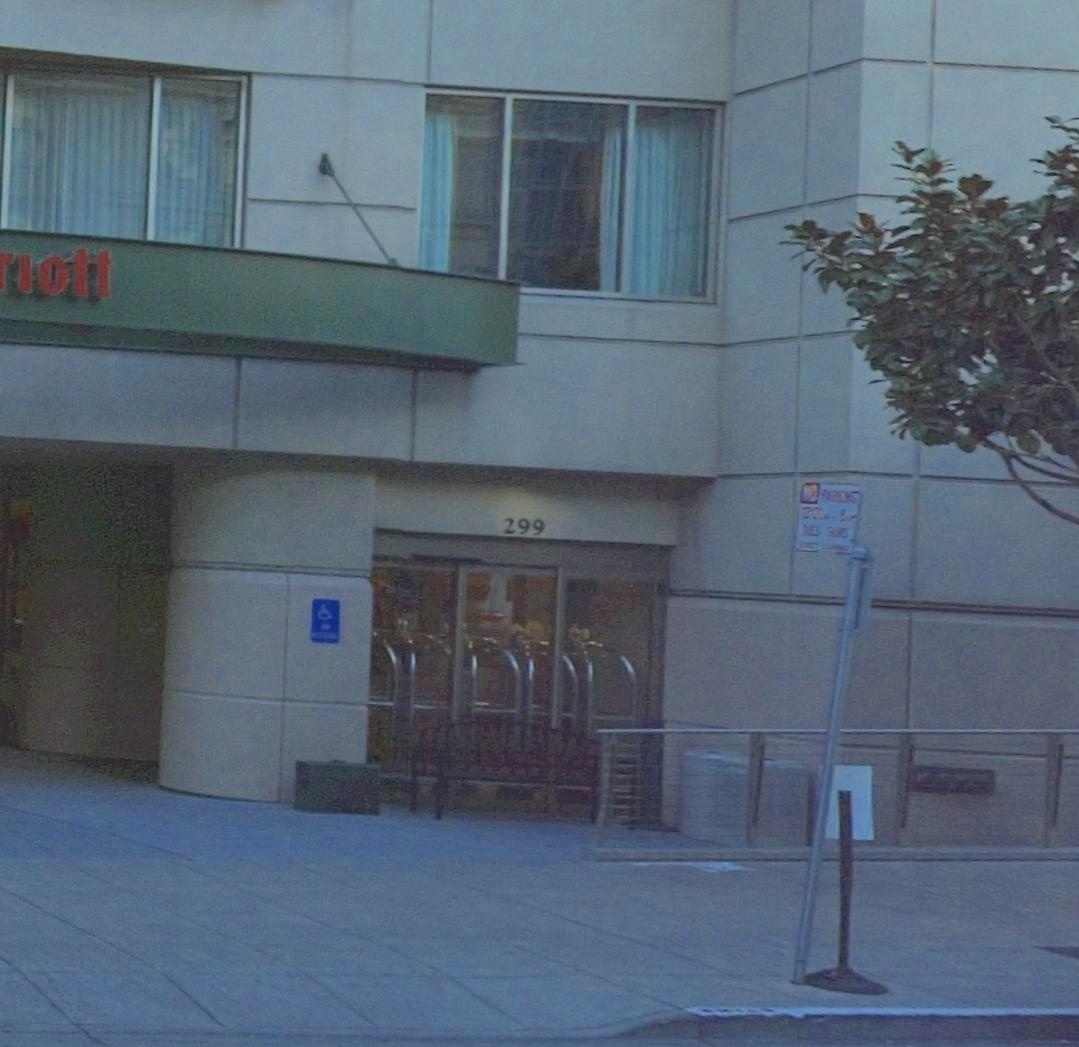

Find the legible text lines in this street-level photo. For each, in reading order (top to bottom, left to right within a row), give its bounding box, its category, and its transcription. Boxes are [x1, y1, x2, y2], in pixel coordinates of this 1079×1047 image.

[14, 244, 115, 302] BusinessName: iott
[802, 485, 859, 504] None: NO PARKING
[501, 517, 547, 536] StreetNumber: 299
[800, 523, 852, 538] None: TUES - THURS